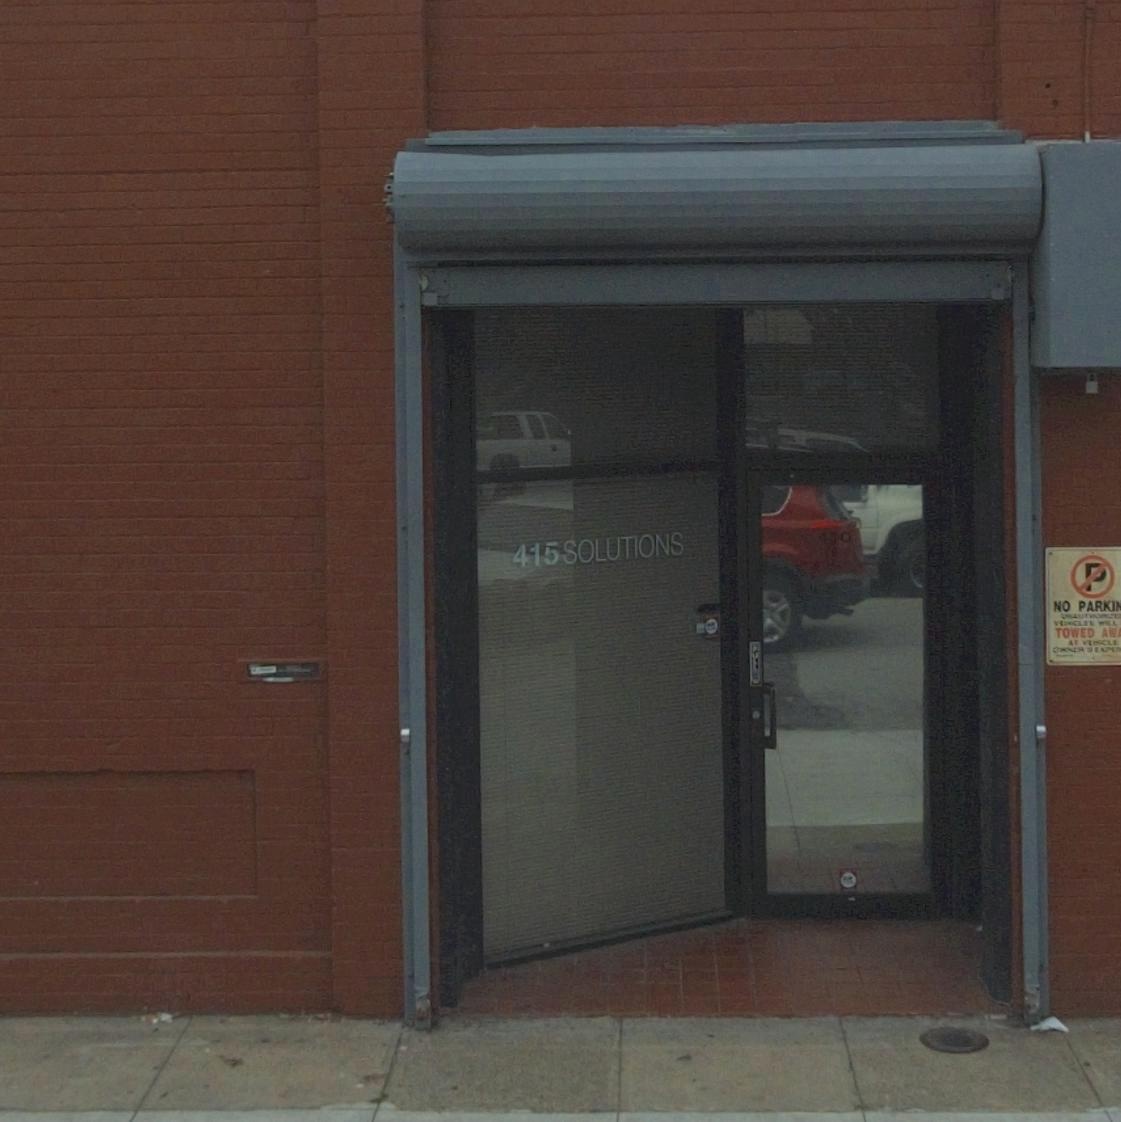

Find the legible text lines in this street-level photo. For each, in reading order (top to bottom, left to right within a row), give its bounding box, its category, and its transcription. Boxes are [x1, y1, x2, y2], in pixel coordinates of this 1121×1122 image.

[511, 531, 685, 569] BusinessName: 415 SOLUTIONS
[1052, 600, 1116, 613] None: NO PARKI
[1053, 626, 1118, 640] None: TOWED AW
[751, 645, 759, 672] None: PULL